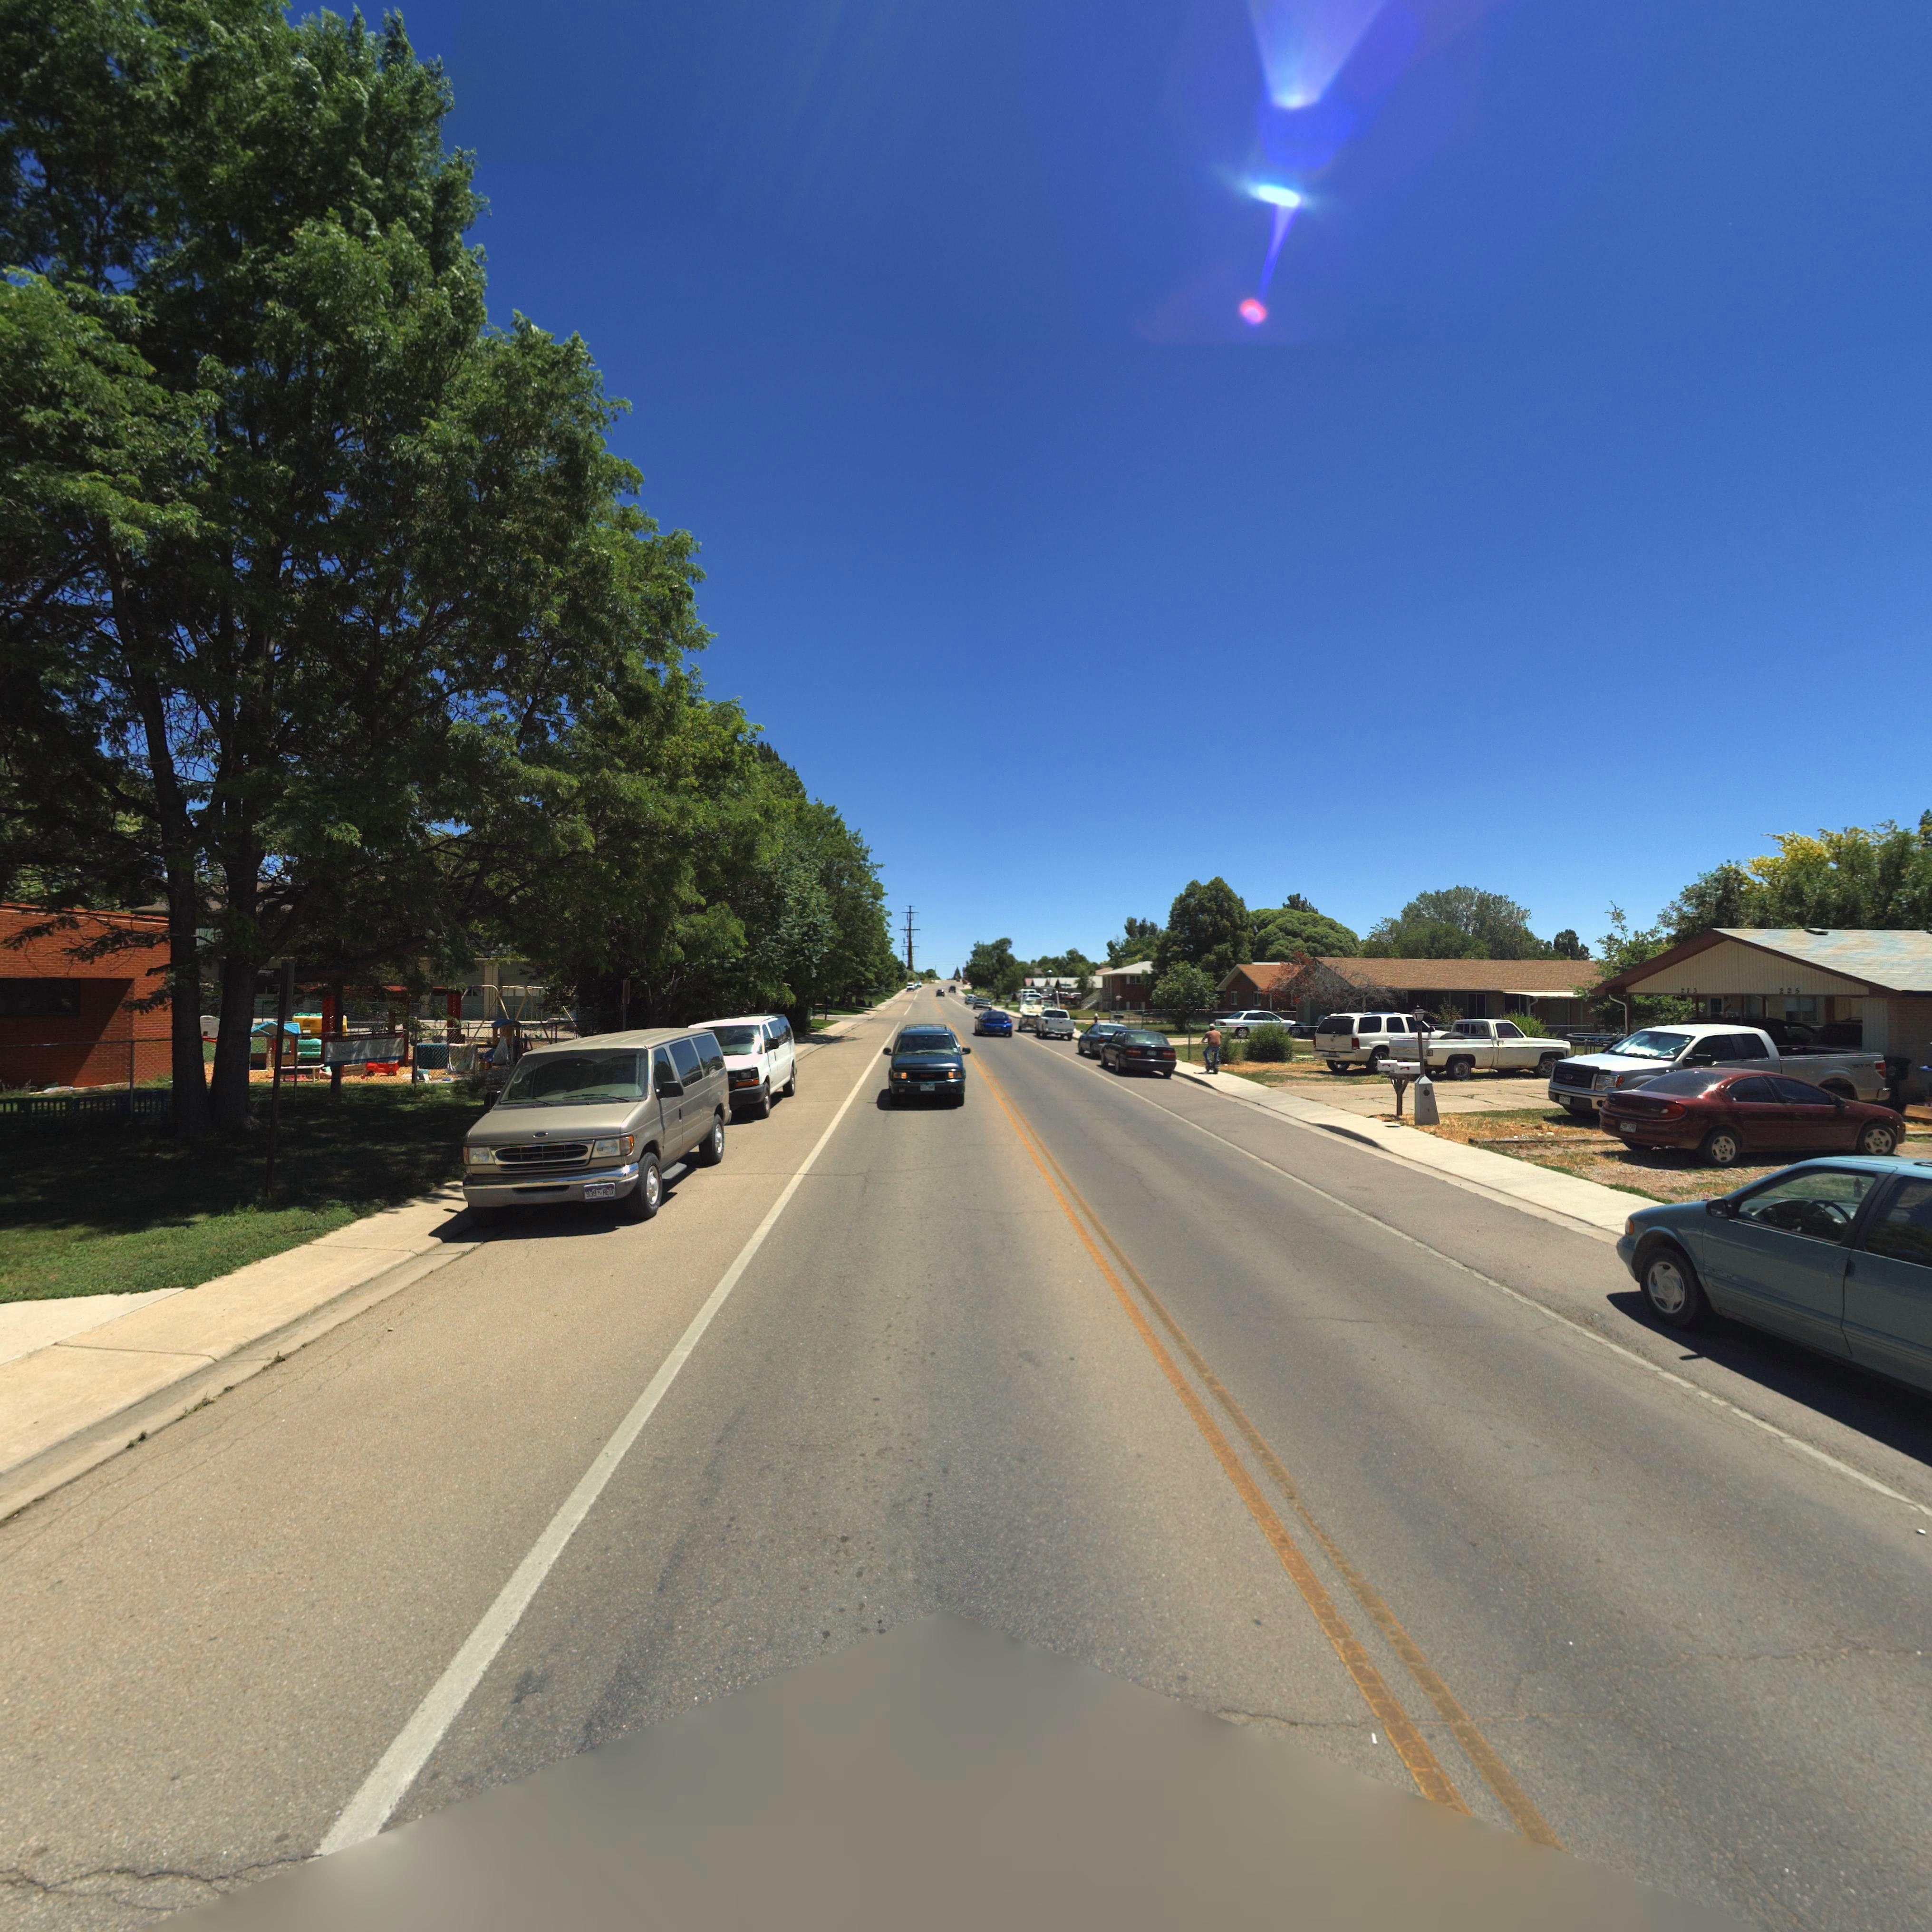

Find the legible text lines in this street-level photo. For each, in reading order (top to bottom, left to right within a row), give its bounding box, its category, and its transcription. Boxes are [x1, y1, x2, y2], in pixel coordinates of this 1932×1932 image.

[1680, 987, 1697, 993] StreetNumber: 223
[1778, 987, 1800, 994] StreetNumber: 225